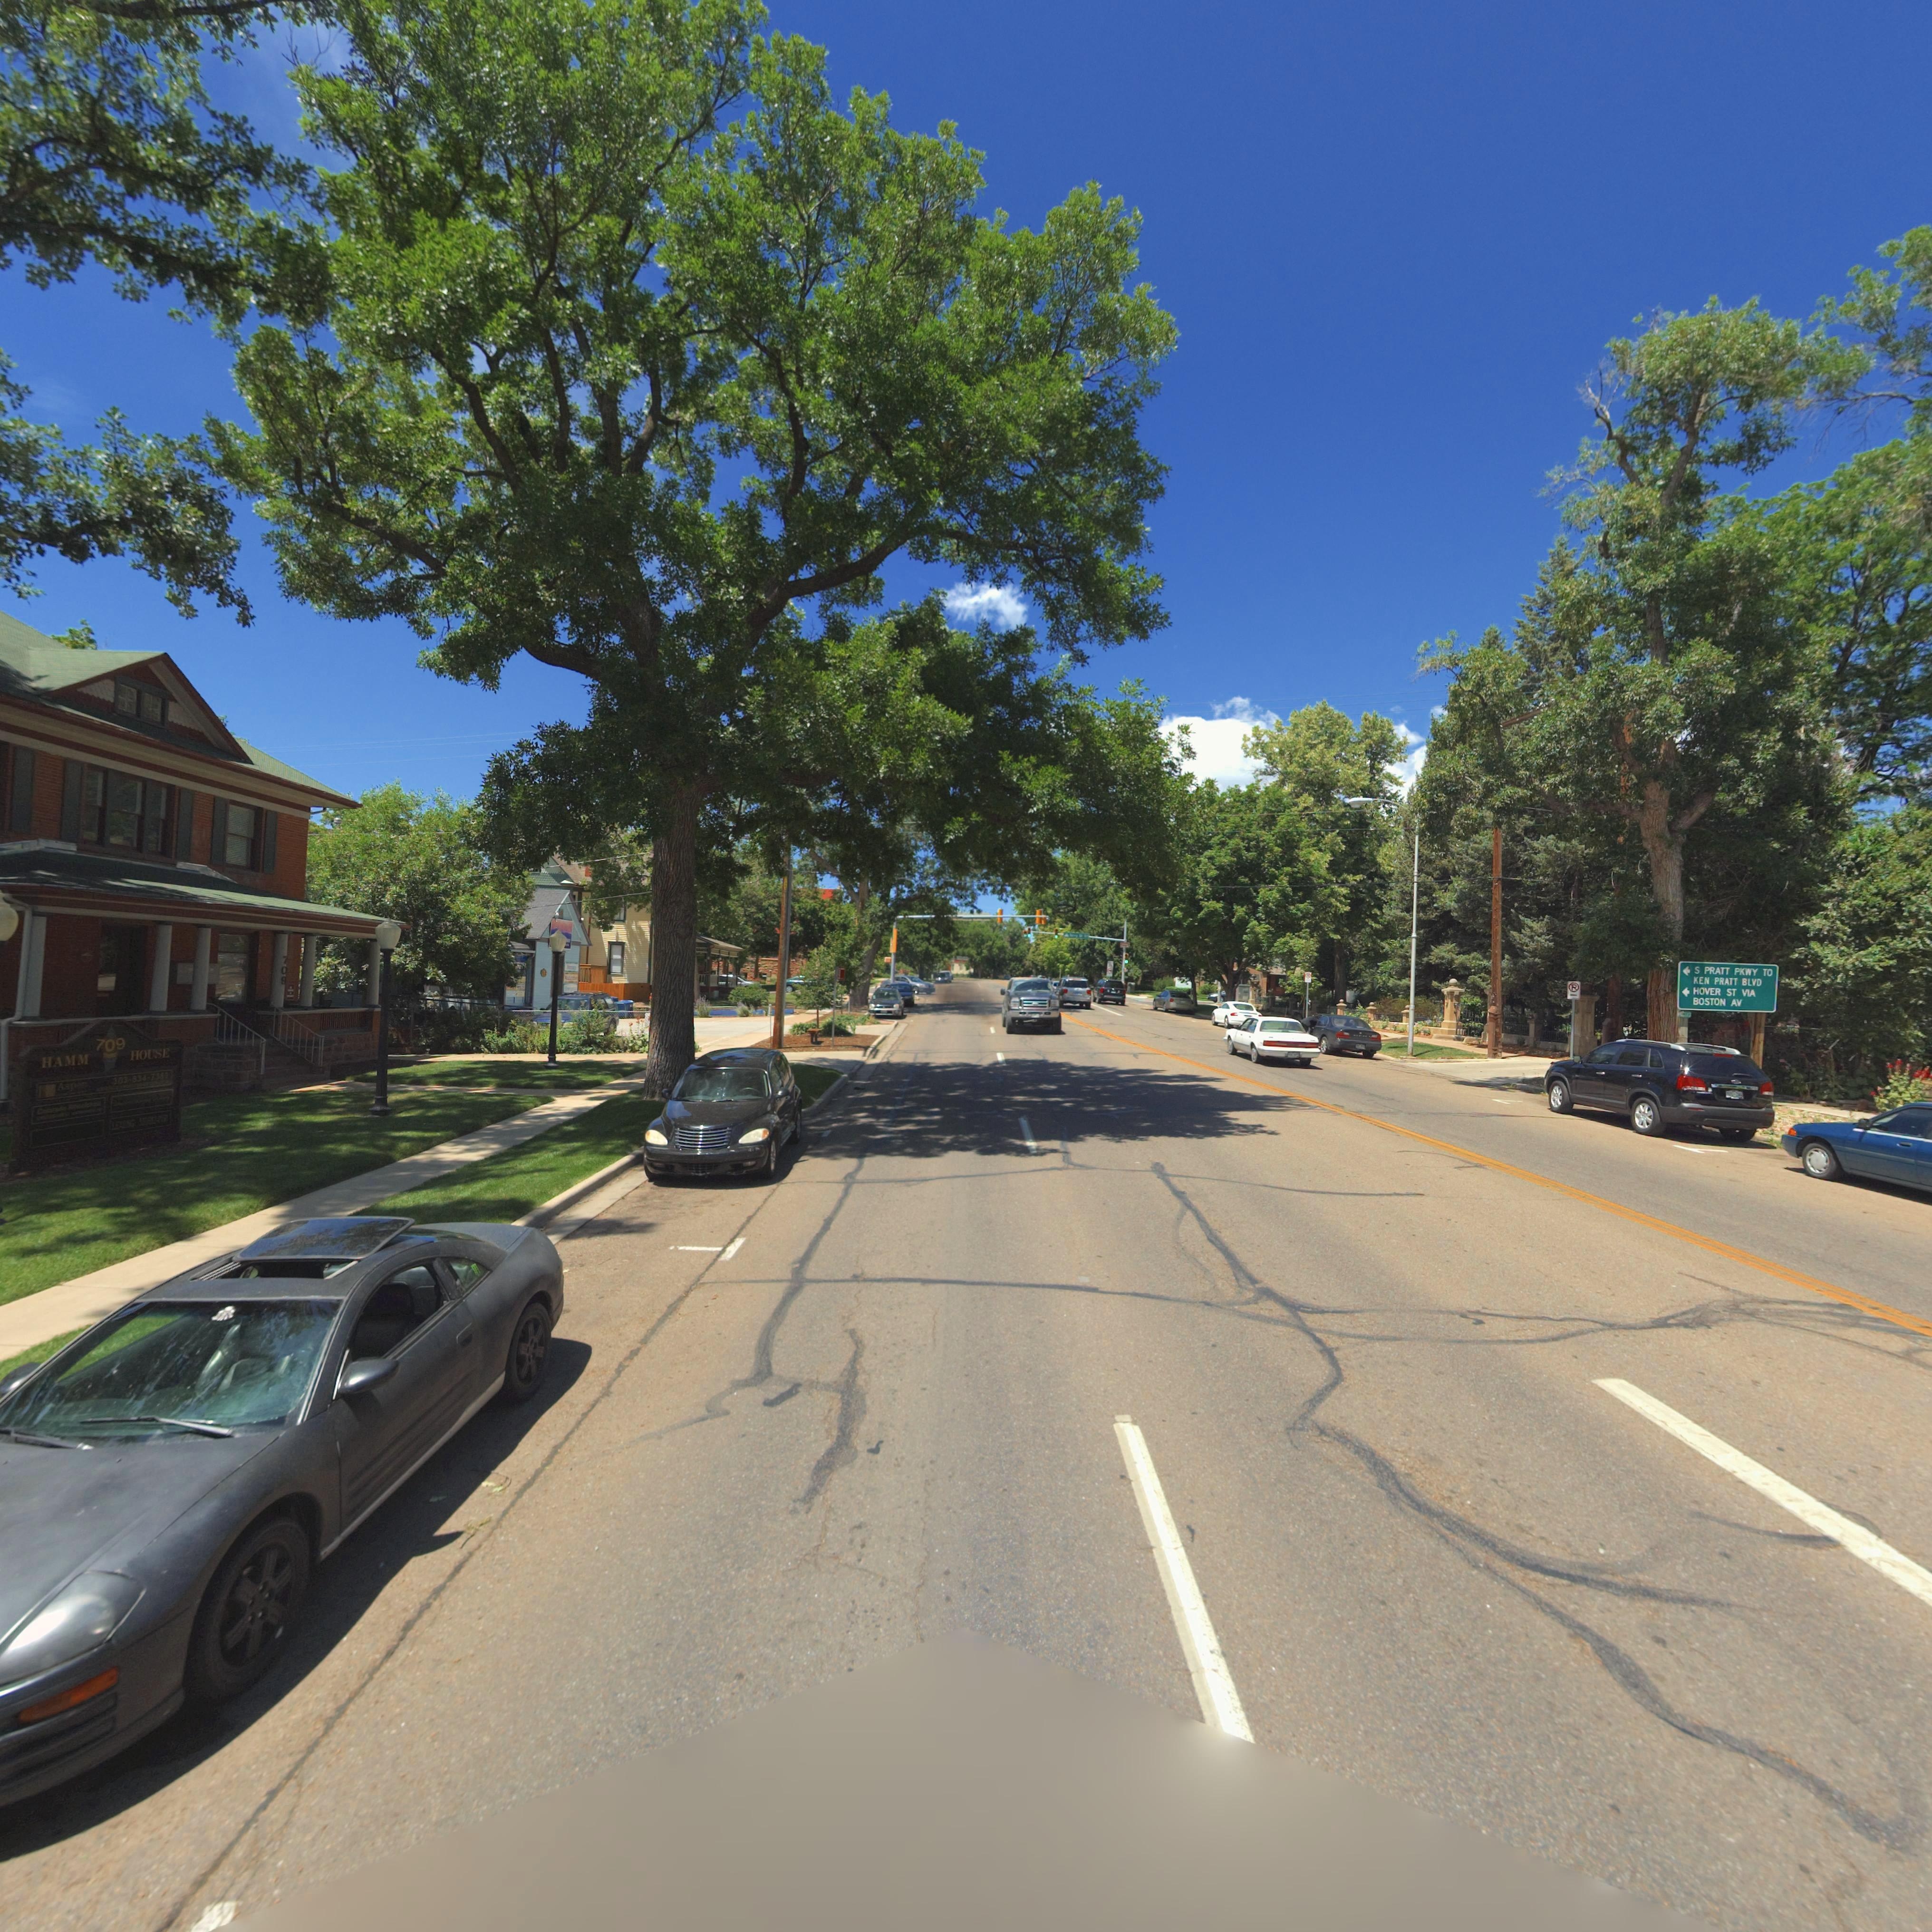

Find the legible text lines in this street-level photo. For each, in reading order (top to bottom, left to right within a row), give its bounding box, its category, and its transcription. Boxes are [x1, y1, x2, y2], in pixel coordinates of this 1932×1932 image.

[1068, 933, 1083, 938] StreetName: T*rry **
[281, 955, 287, 985] StreetNumber: 709
[1694, 966, 1759, 976] StreetName: S PRATT PKWY
[1693, 976, 1762, 986] StreetName: KEN PRATT BLVD
[1693, 987, 1737, 996] StreetName: HOVER ST
[1693, 997, 1742, 1006] StreetName: BOSTON AV
[95, 1036, 126, 1052] StreetNumber: 709
[56, 1081, 89, 1092] BusinessName: Aspen
[36, 1100, 102, 1115] BusinessName: Colorado W*********